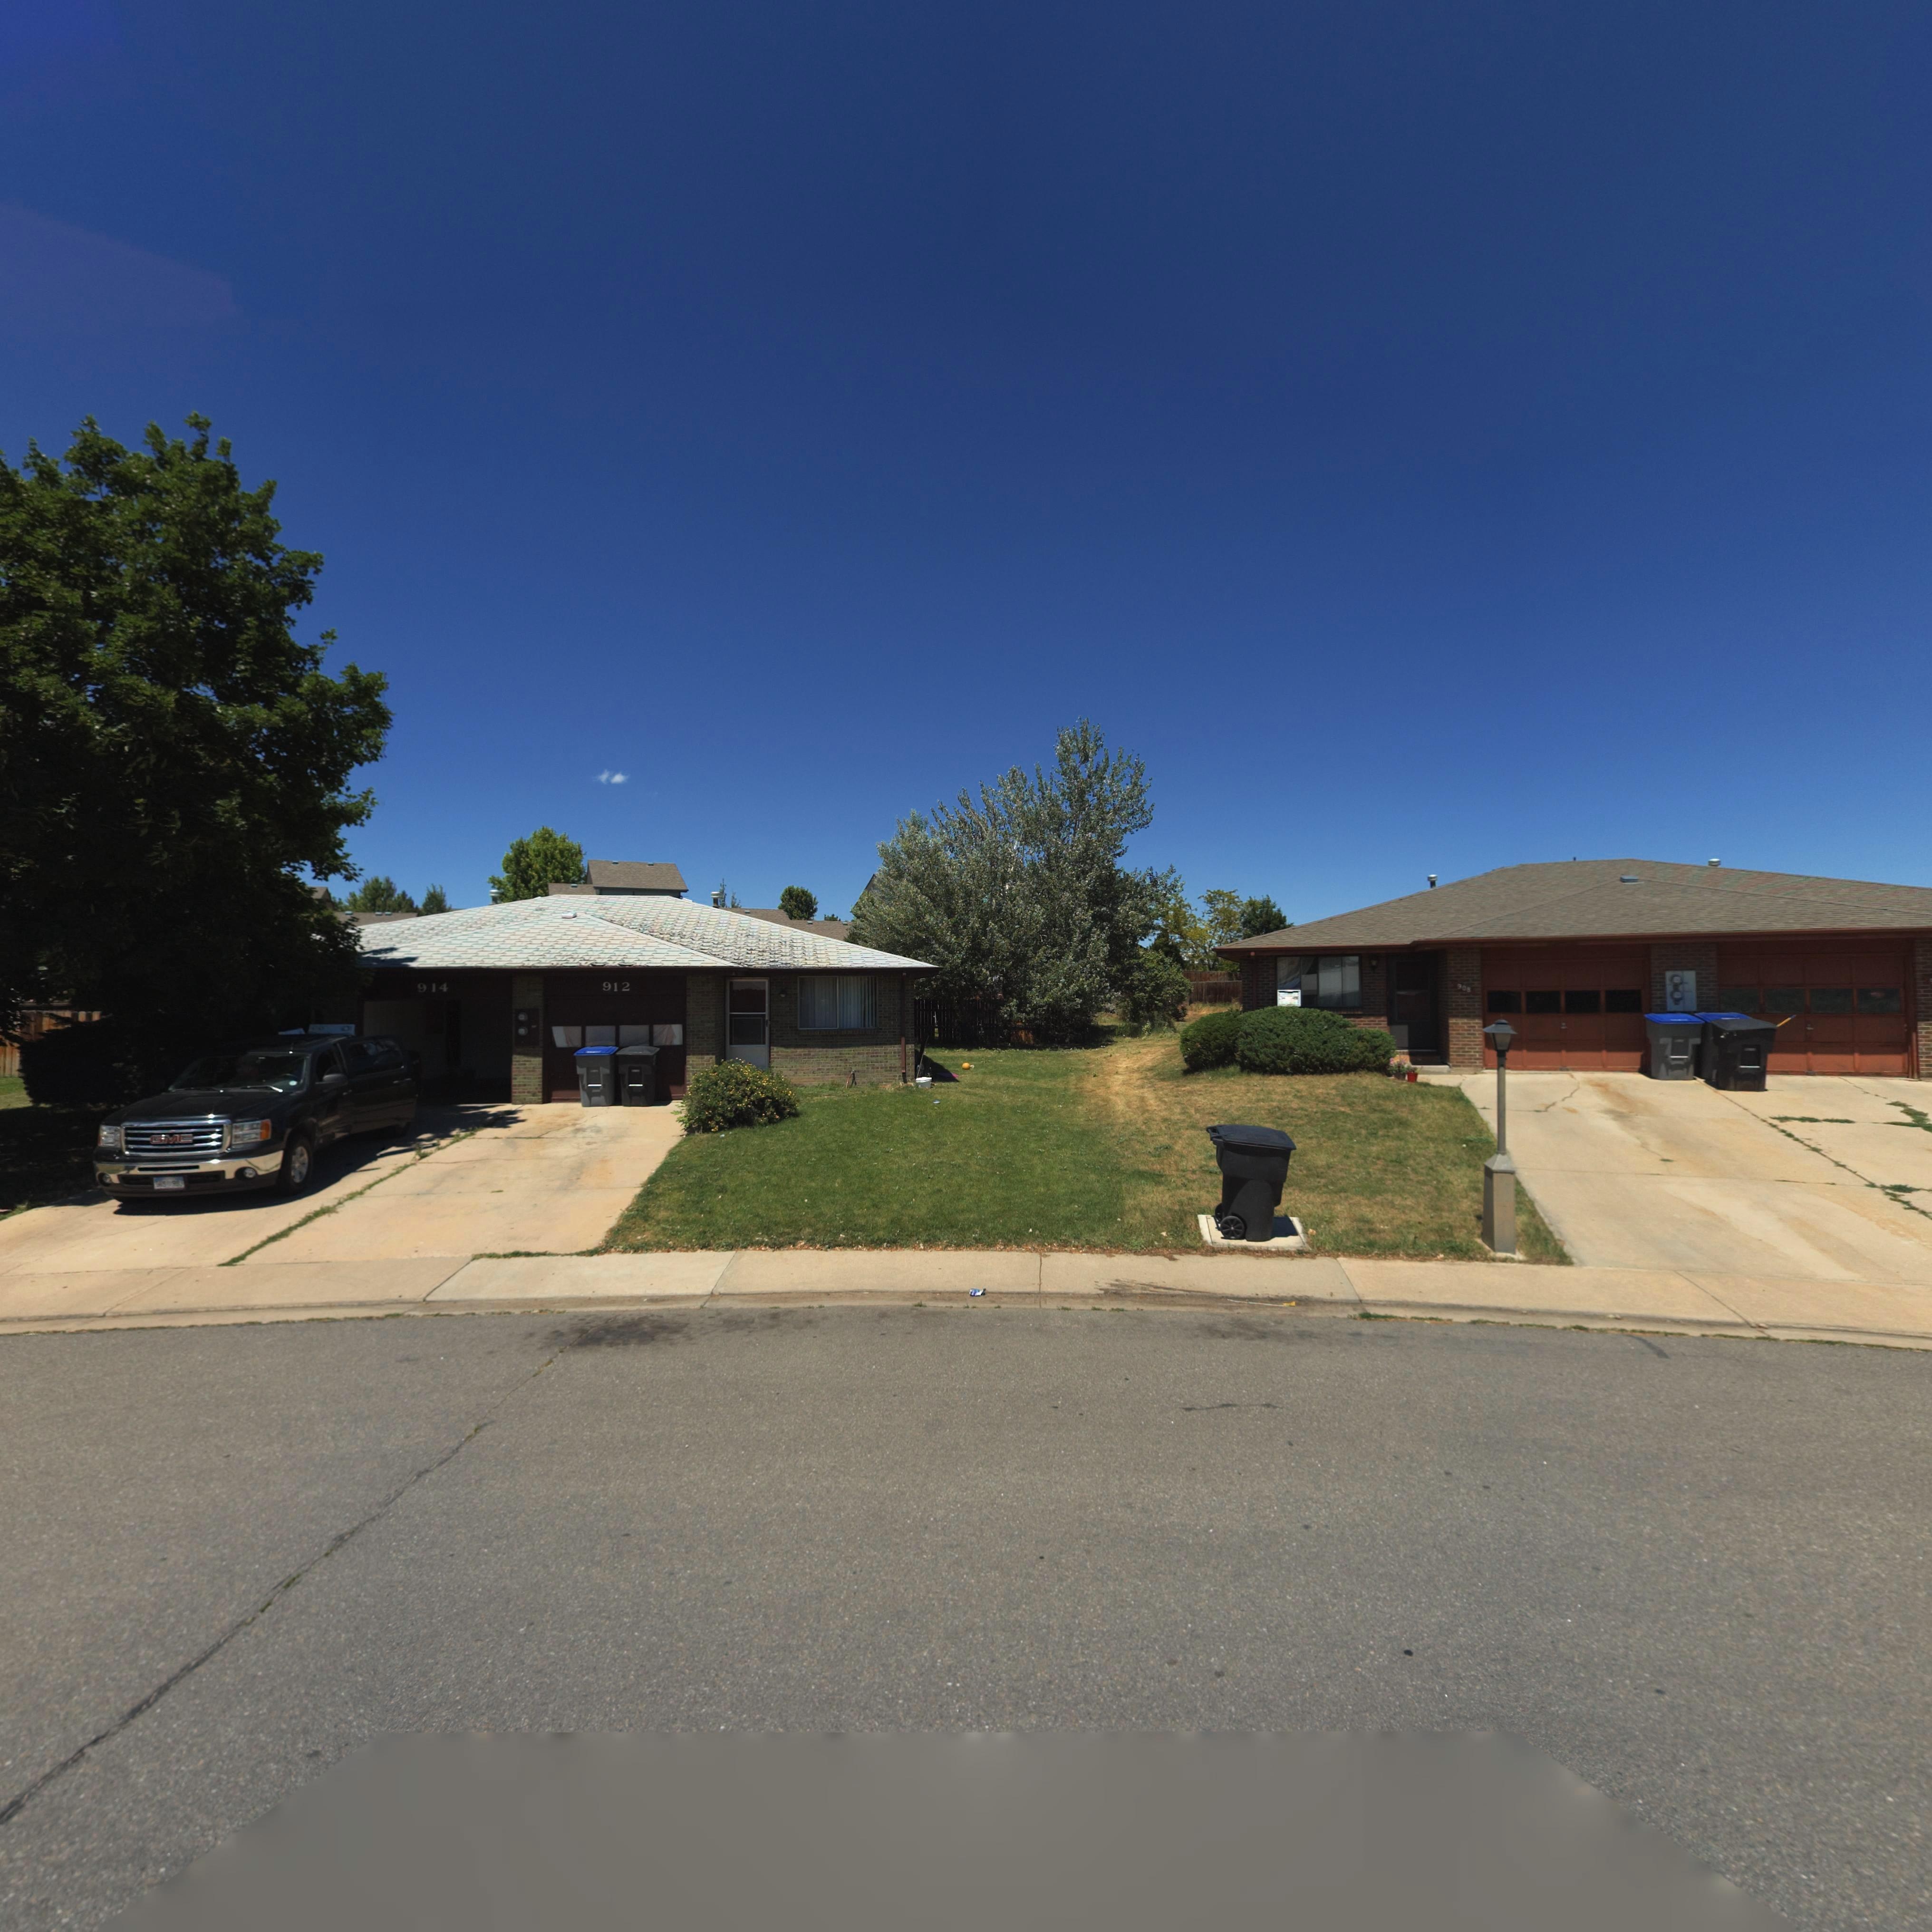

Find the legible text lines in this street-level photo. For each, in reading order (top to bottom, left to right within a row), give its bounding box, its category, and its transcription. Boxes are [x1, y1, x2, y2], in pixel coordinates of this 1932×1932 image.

[417, 982, 449, 993] StreetNumber: 914
[602, 981, 630, 992] StreetNumber: 912
[1457, 983, 1471, 992] StreetNumber: 908